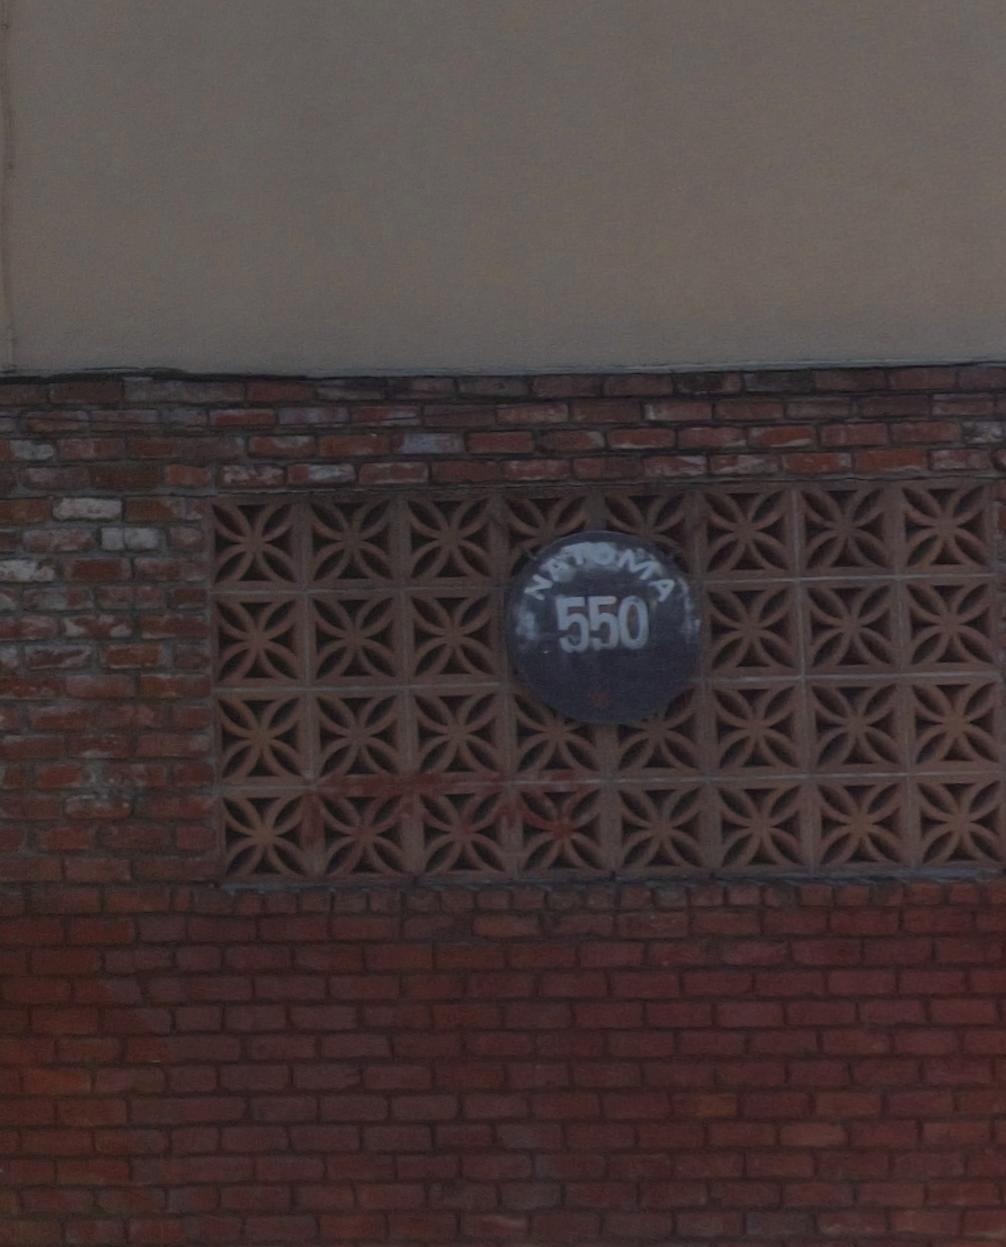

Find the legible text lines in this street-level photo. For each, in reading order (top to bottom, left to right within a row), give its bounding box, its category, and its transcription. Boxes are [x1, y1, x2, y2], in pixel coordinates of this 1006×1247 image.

[521, 539, 677, 605] None: NAT*MA
[554, 591, 651, 656] StreetNumber: 550